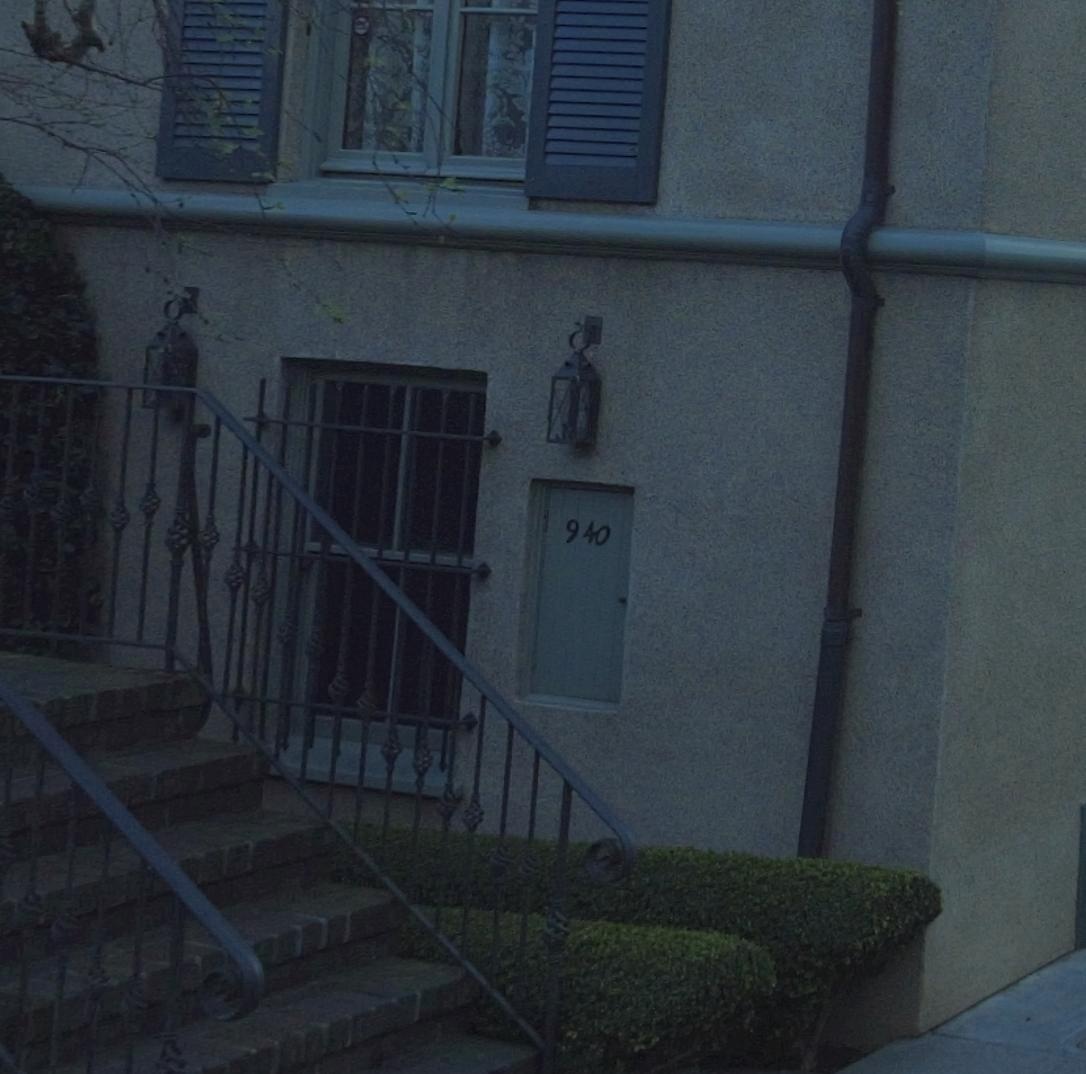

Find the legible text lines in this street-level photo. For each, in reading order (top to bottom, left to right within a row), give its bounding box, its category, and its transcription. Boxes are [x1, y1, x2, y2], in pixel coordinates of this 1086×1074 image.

[564, 515, 614, 548] StreetNumber: 940